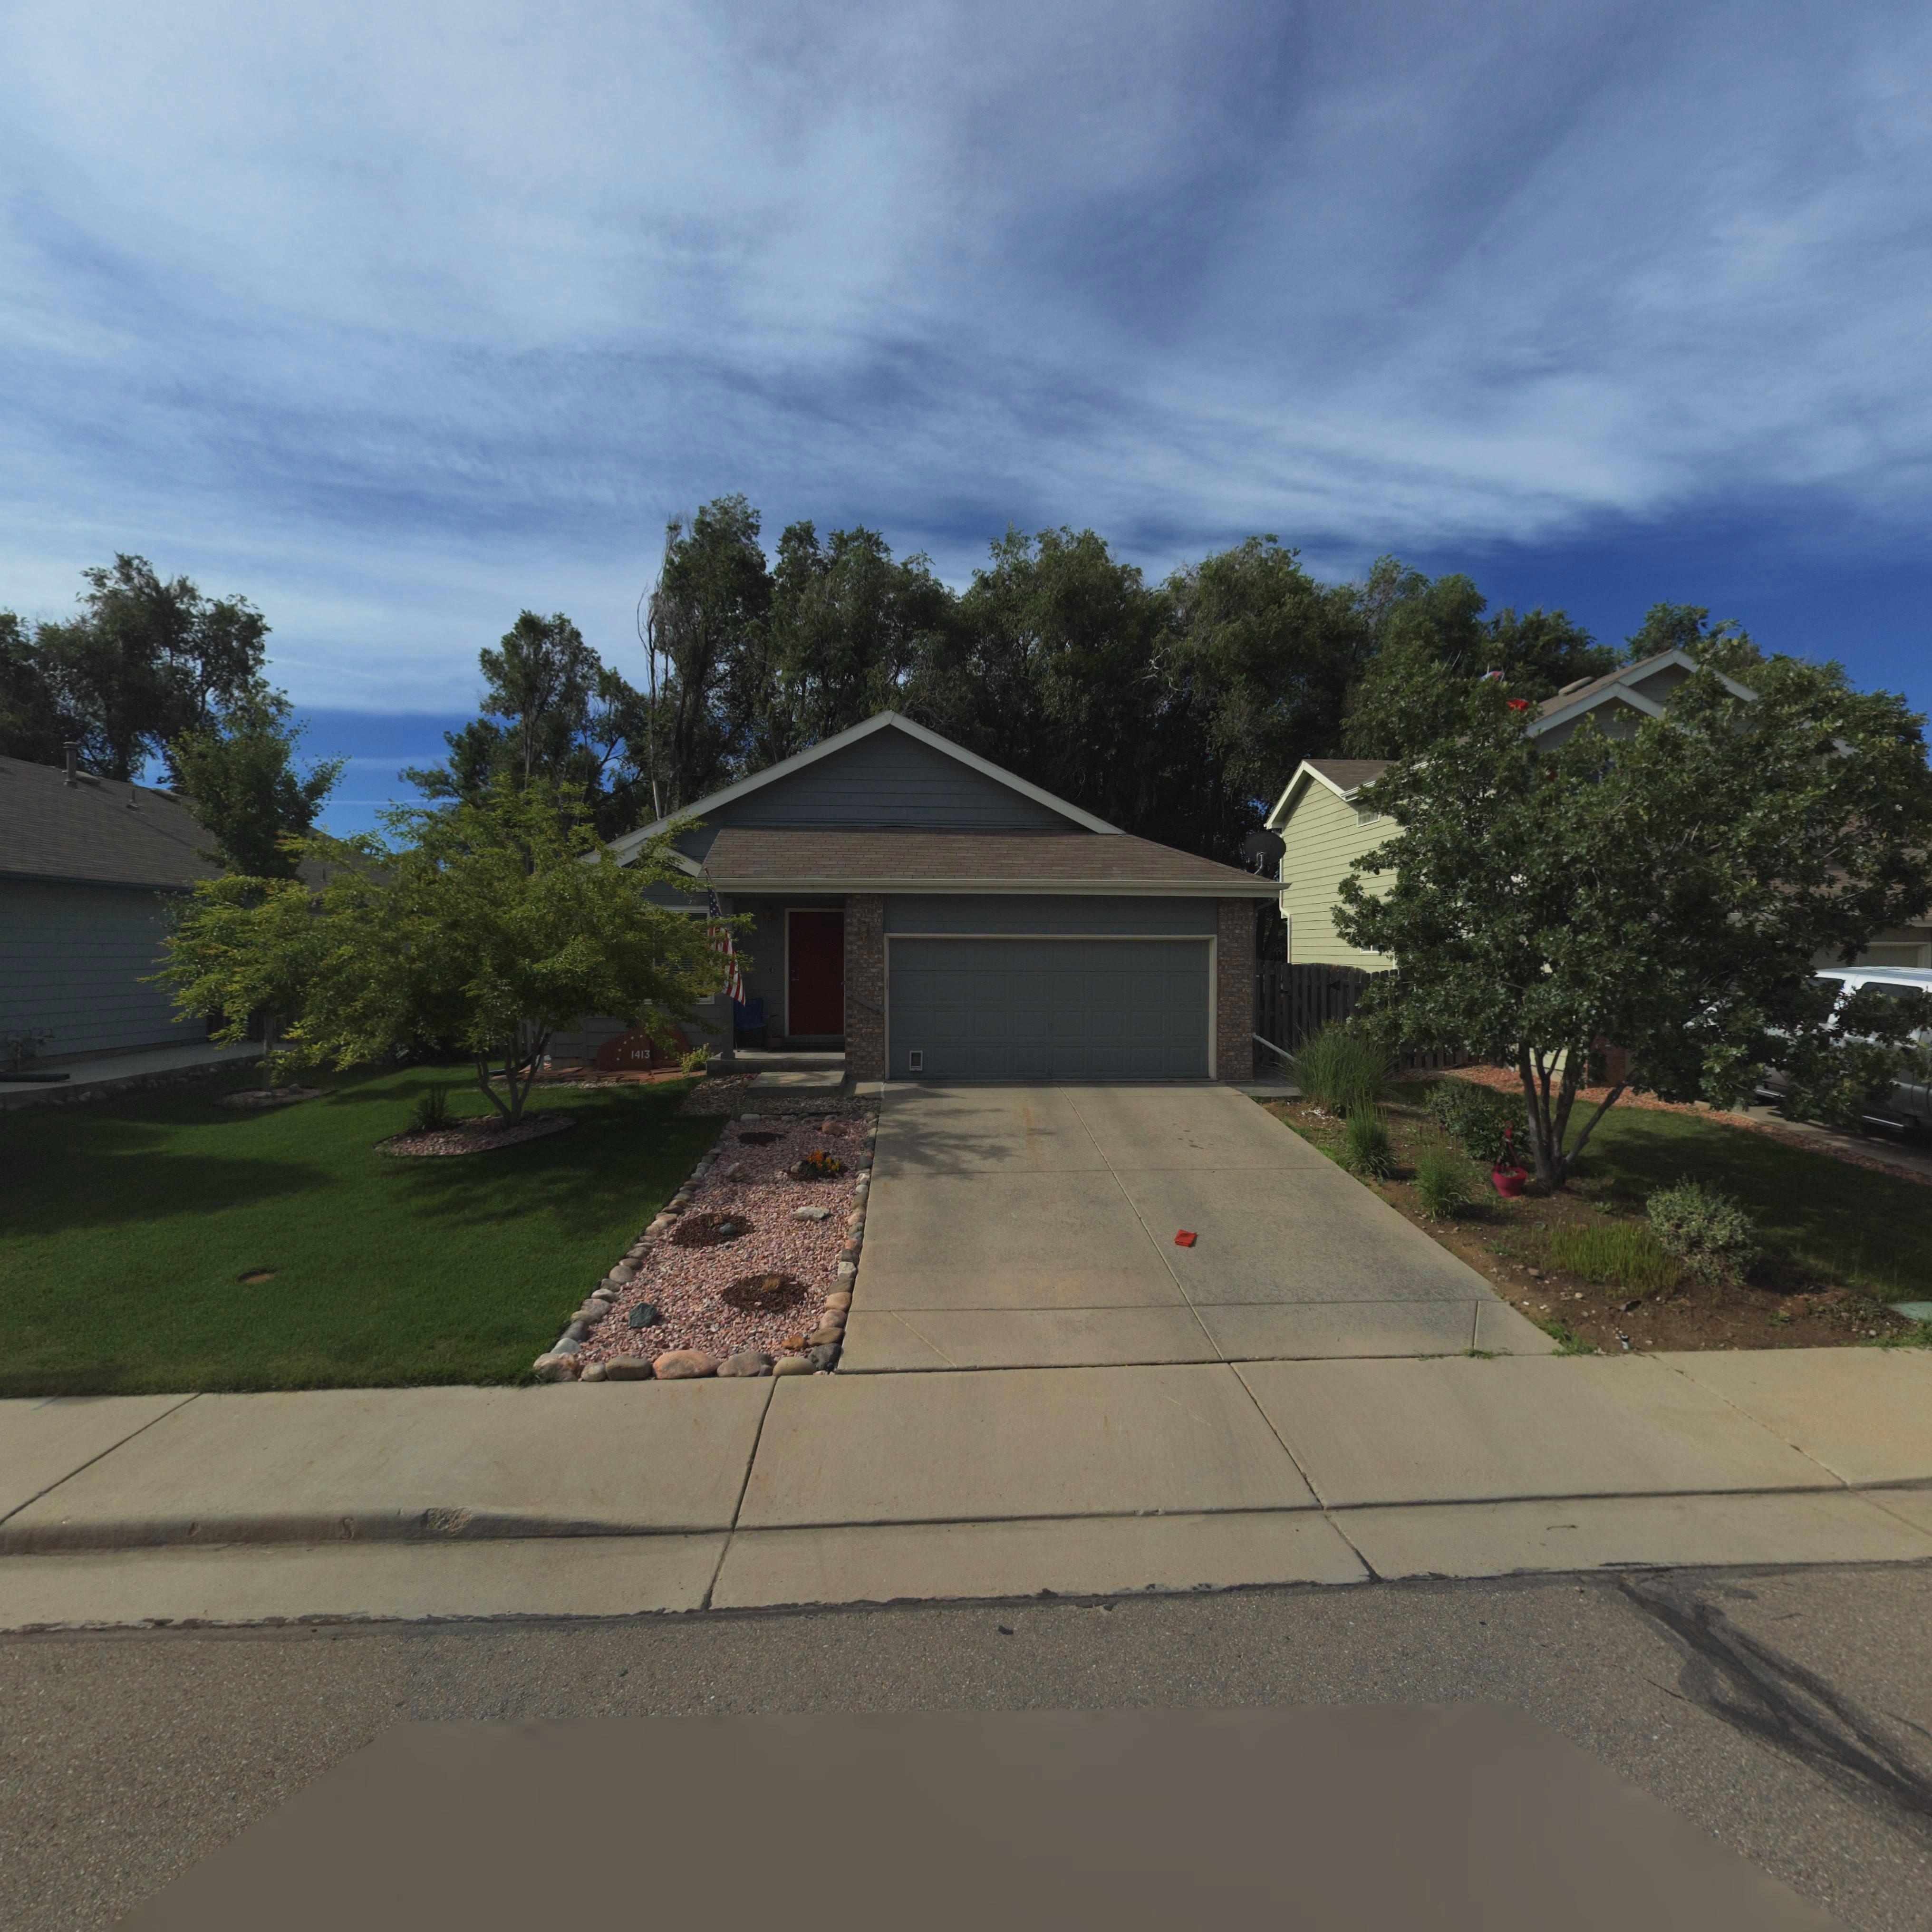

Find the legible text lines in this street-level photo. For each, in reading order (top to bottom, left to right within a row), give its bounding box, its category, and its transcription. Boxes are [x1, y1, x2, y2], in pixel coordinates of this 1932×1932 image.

[630, 1050, 650, 1059] StreetNumber: 1413